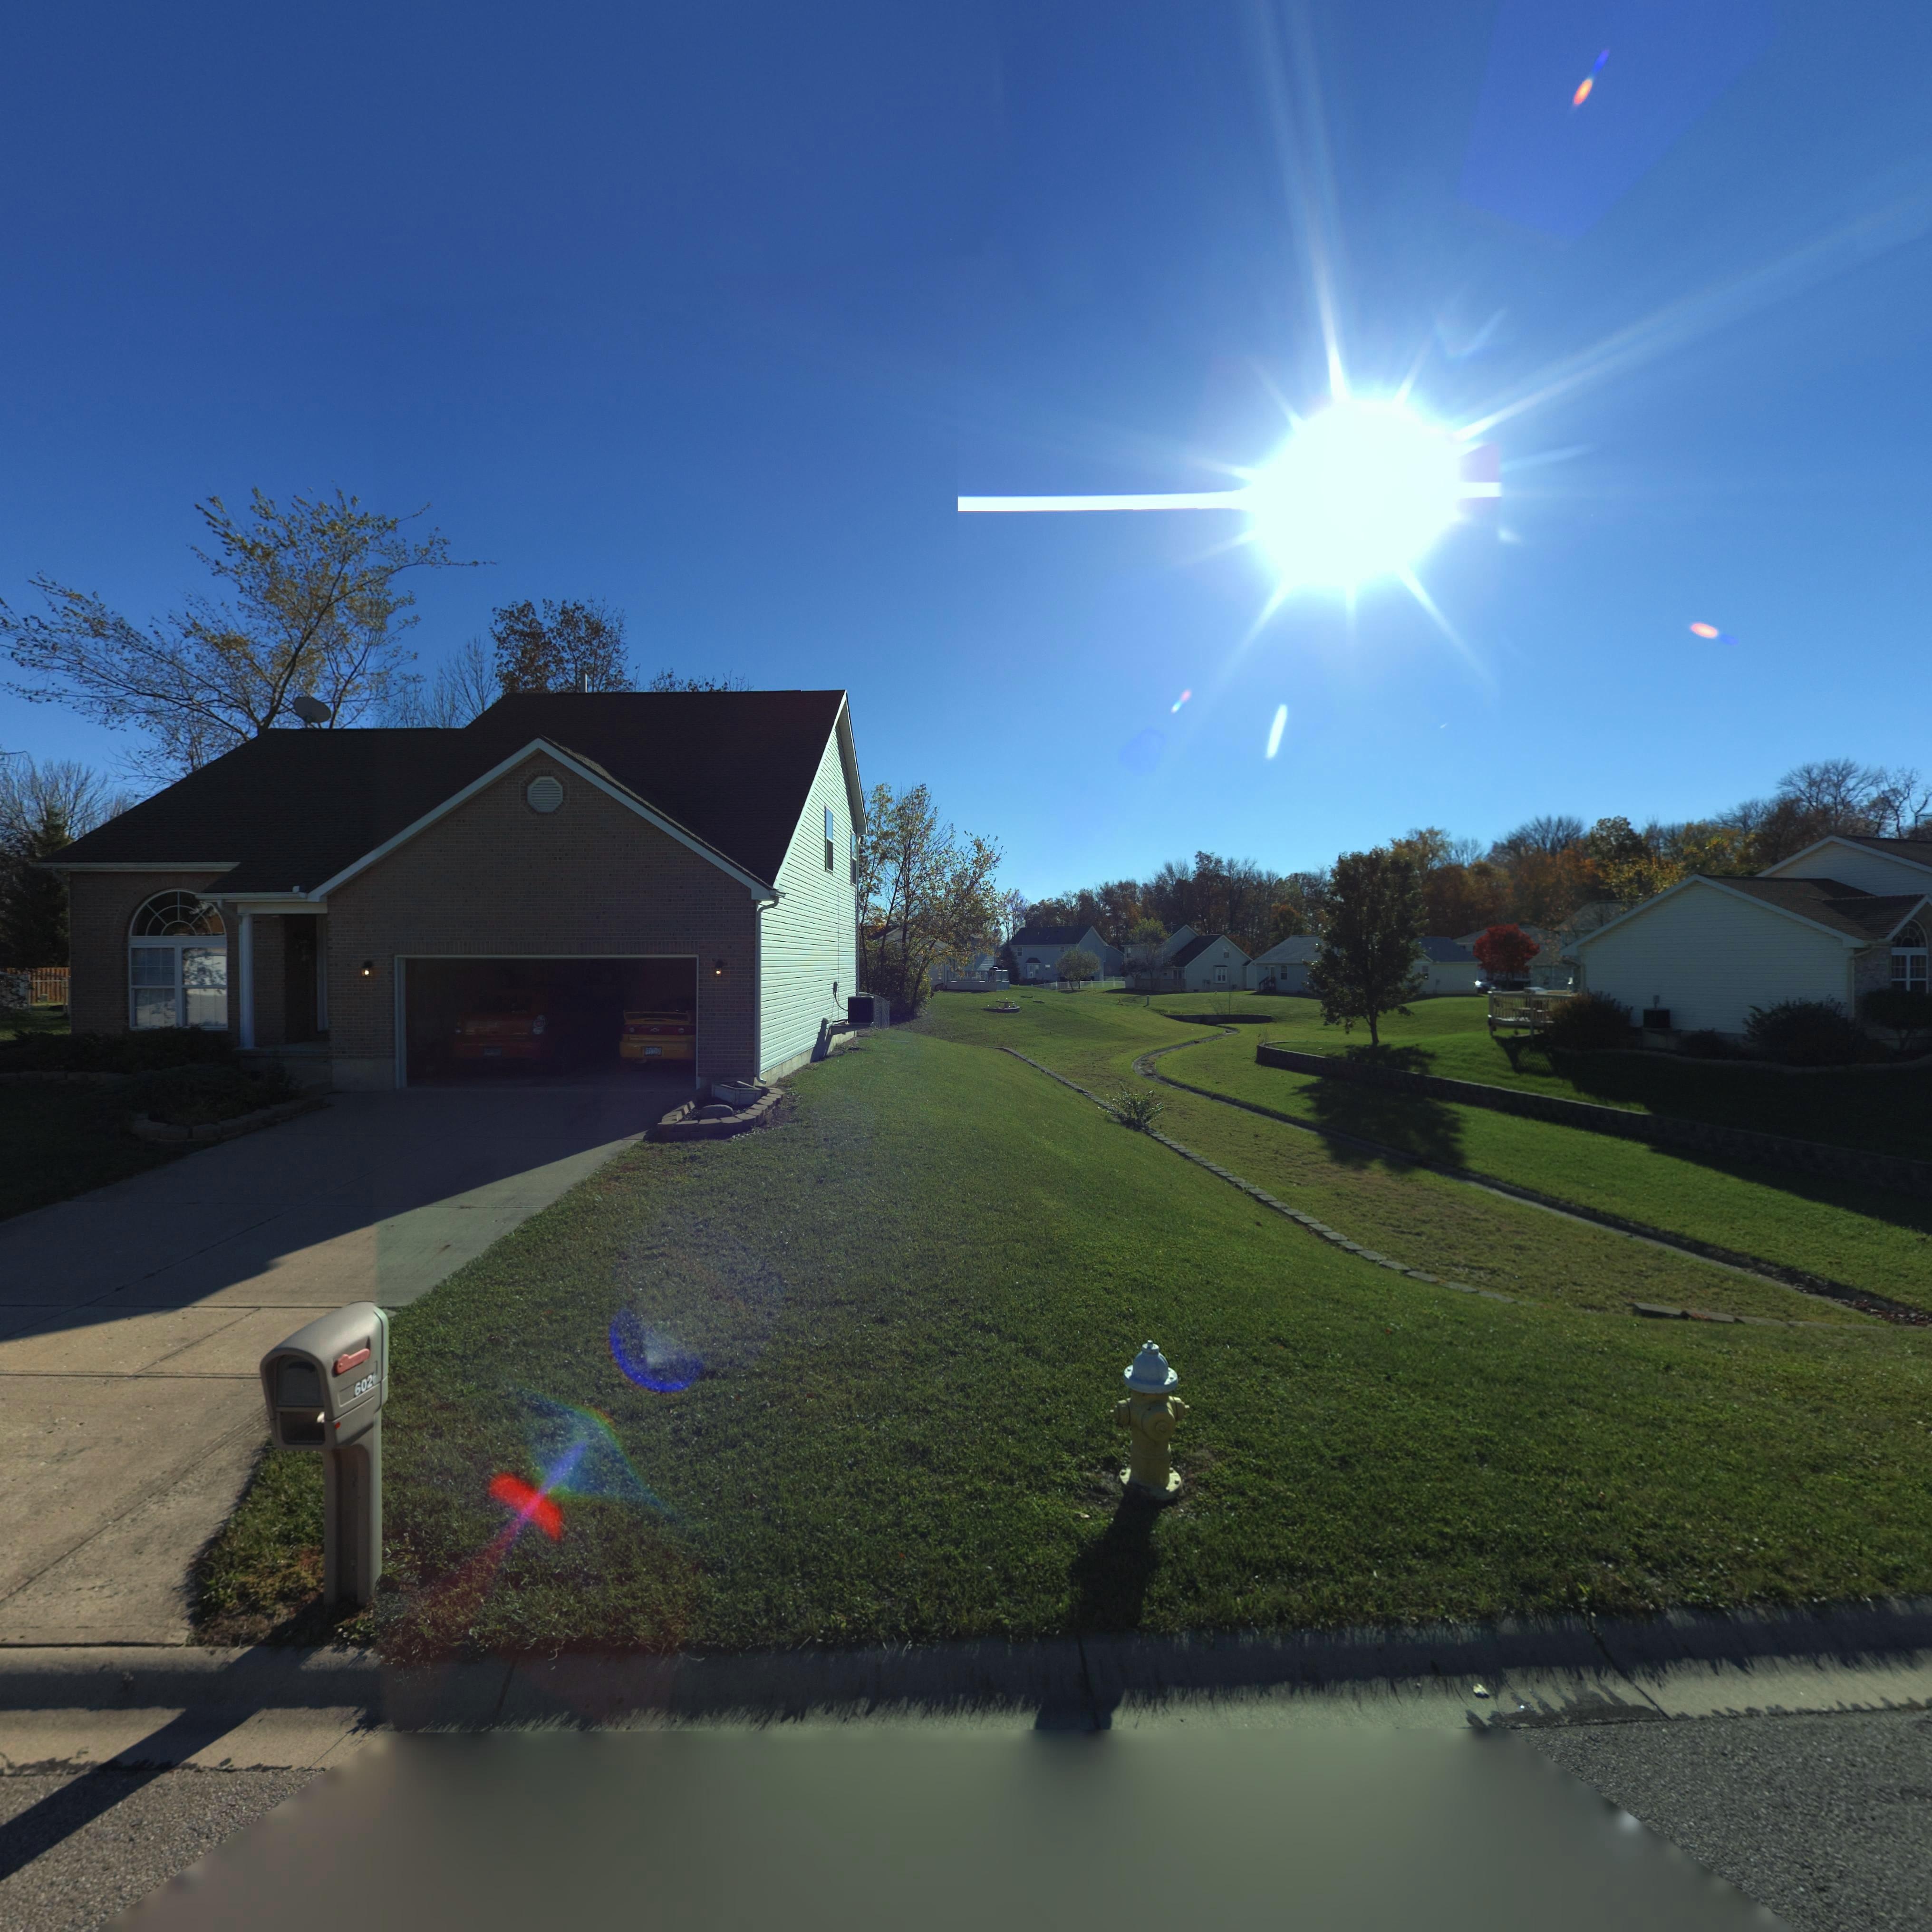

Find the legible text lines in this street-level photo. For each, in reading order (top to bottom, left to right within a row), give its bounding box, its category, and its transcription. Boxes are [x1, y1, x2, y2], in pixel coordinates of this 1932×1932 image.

[646, 1049, 660, 1055] None: *** 1212
[353, 1373, 374, 1398] StreetNumber: 602